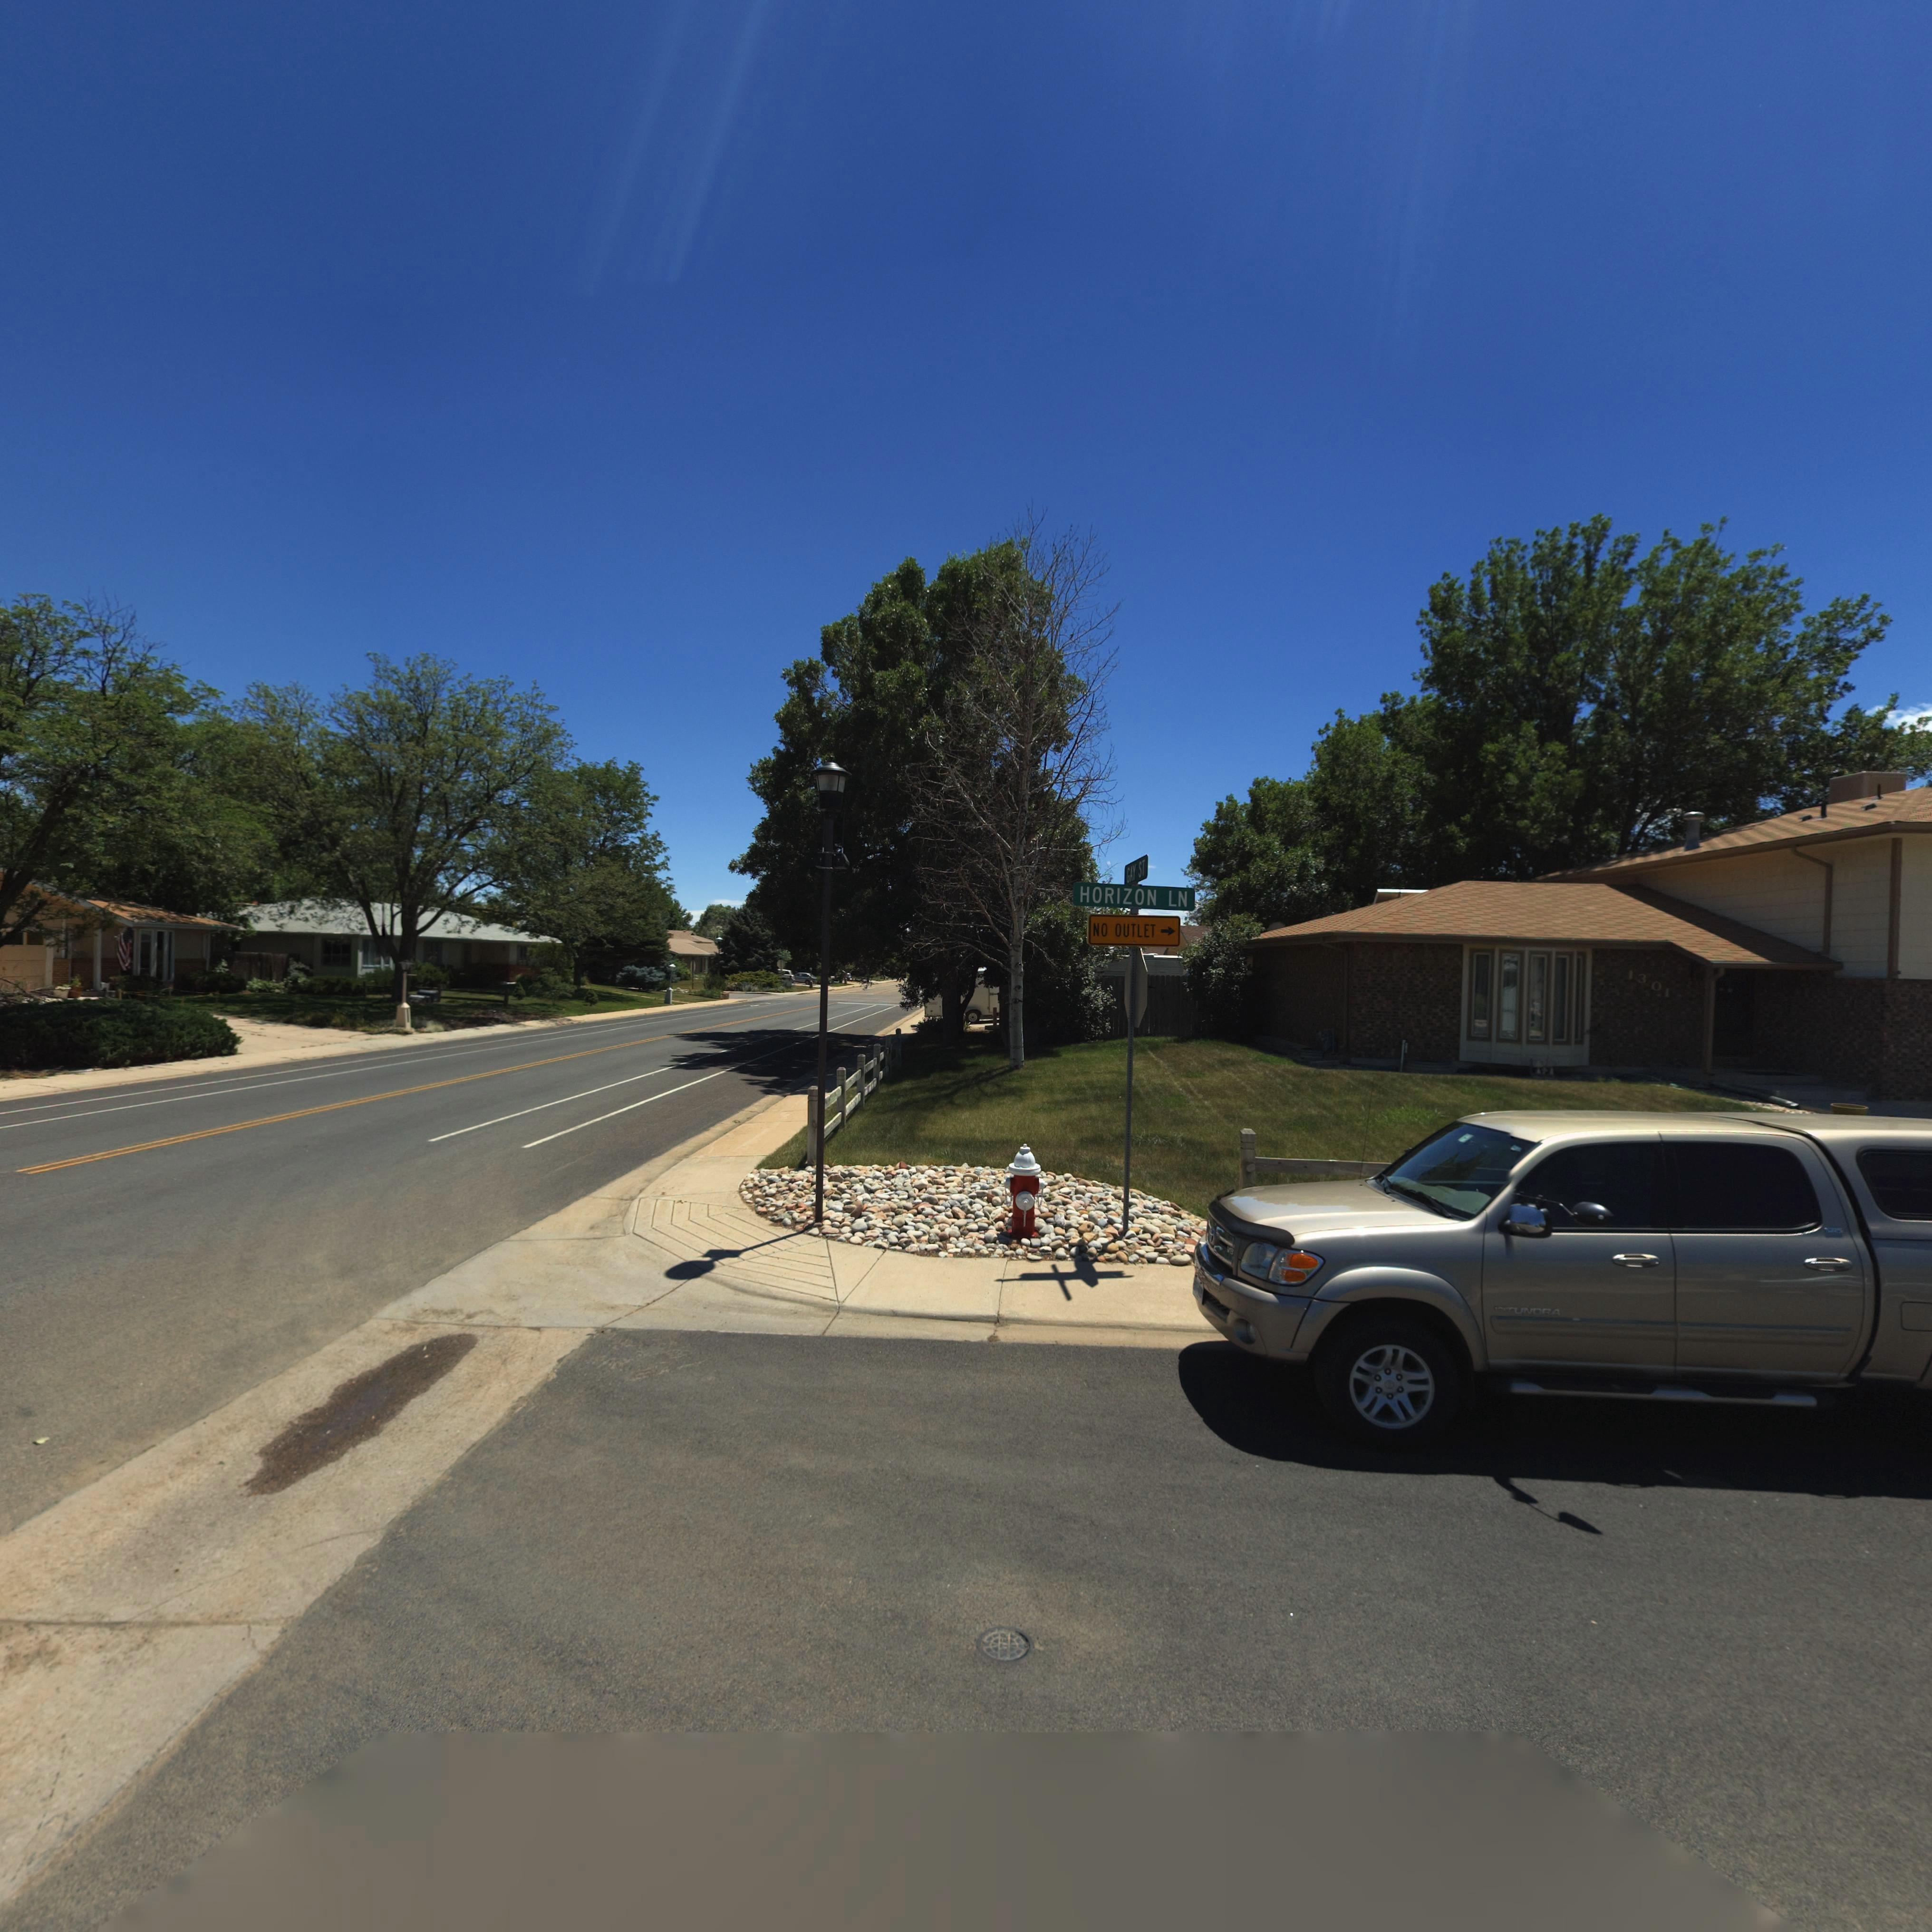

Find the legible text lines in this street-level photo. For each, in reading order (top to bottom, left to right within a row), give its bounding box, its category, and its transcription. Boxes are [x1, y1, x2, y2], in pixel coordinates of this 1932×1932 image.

[1127, 859, 1145, 883] StreetName: GAY ST
[1080, 885, 1187, 908] StreetName: HORIZON LN
[1628, 967, 1670, 998] StreetNumber: 1301